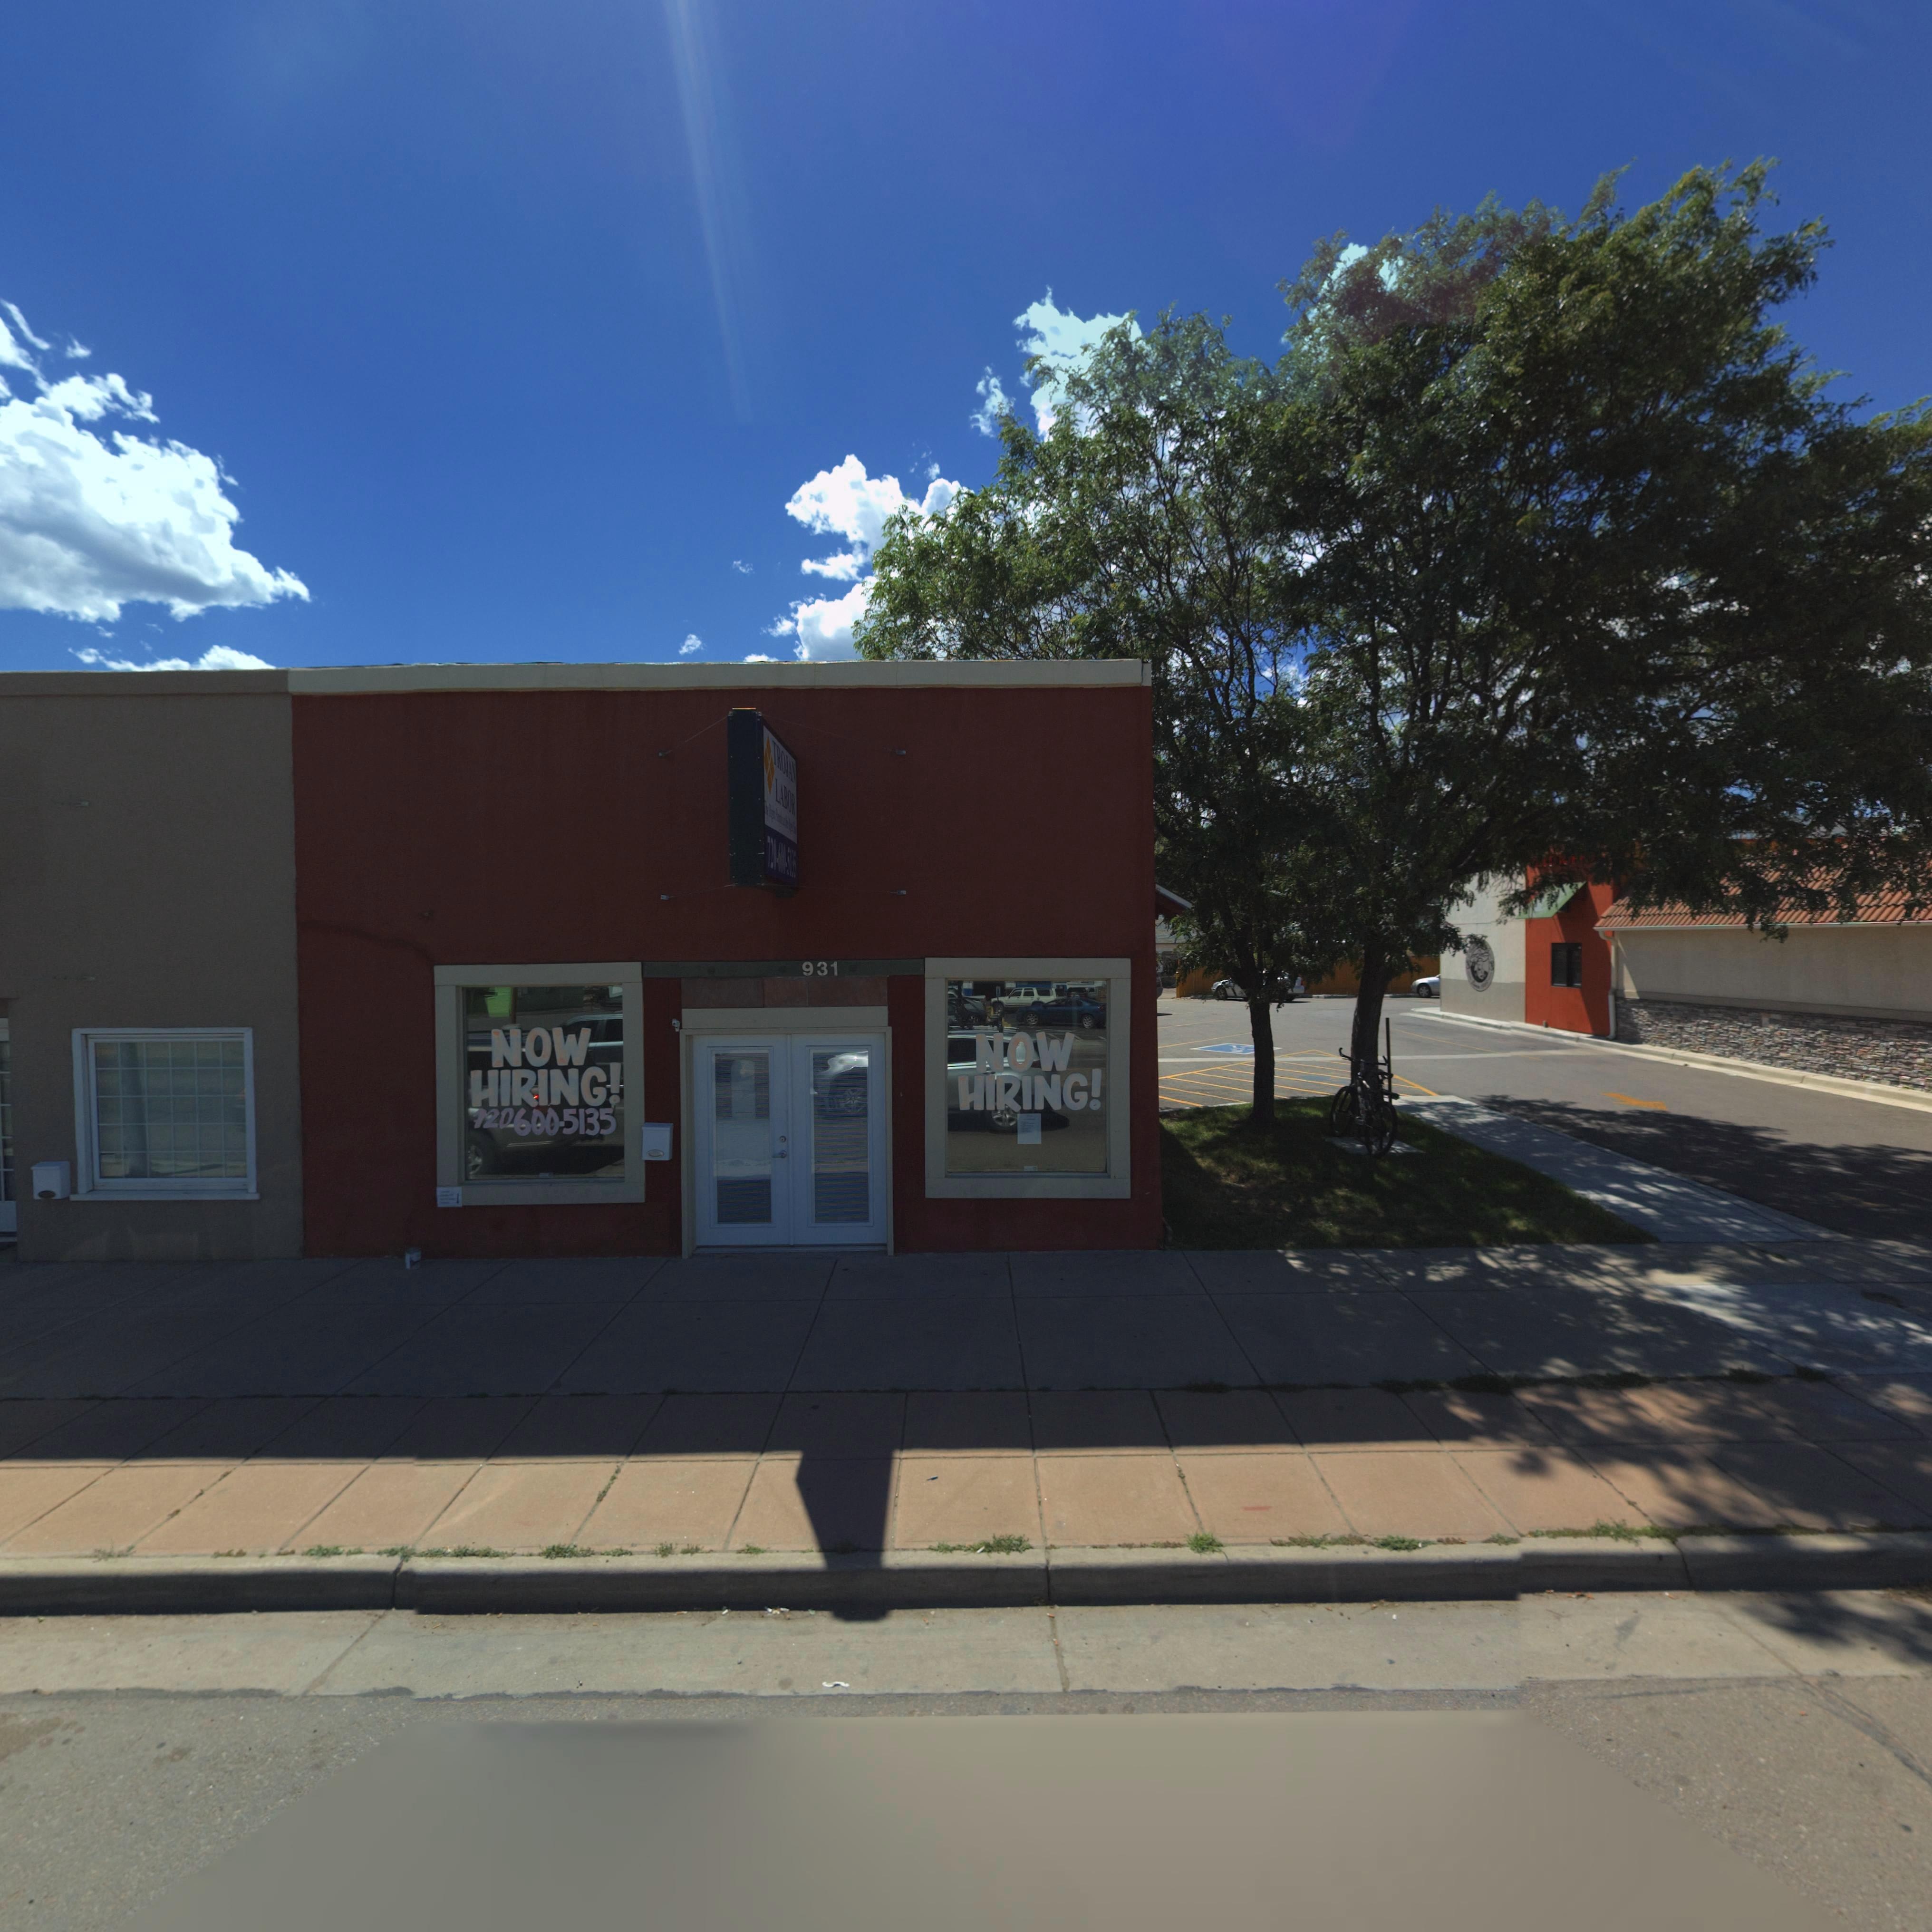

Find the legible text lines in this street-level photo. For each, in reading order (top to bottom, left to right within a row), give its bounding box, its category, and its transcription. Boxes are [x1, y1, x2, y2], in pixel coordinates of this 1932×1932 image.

[773, 739, 796, 784] BusinessName: TROJA*
[775, 777, 795, 816] BusinessName: LABOR
[802, 961, 838, 976] StreetNumber: 931